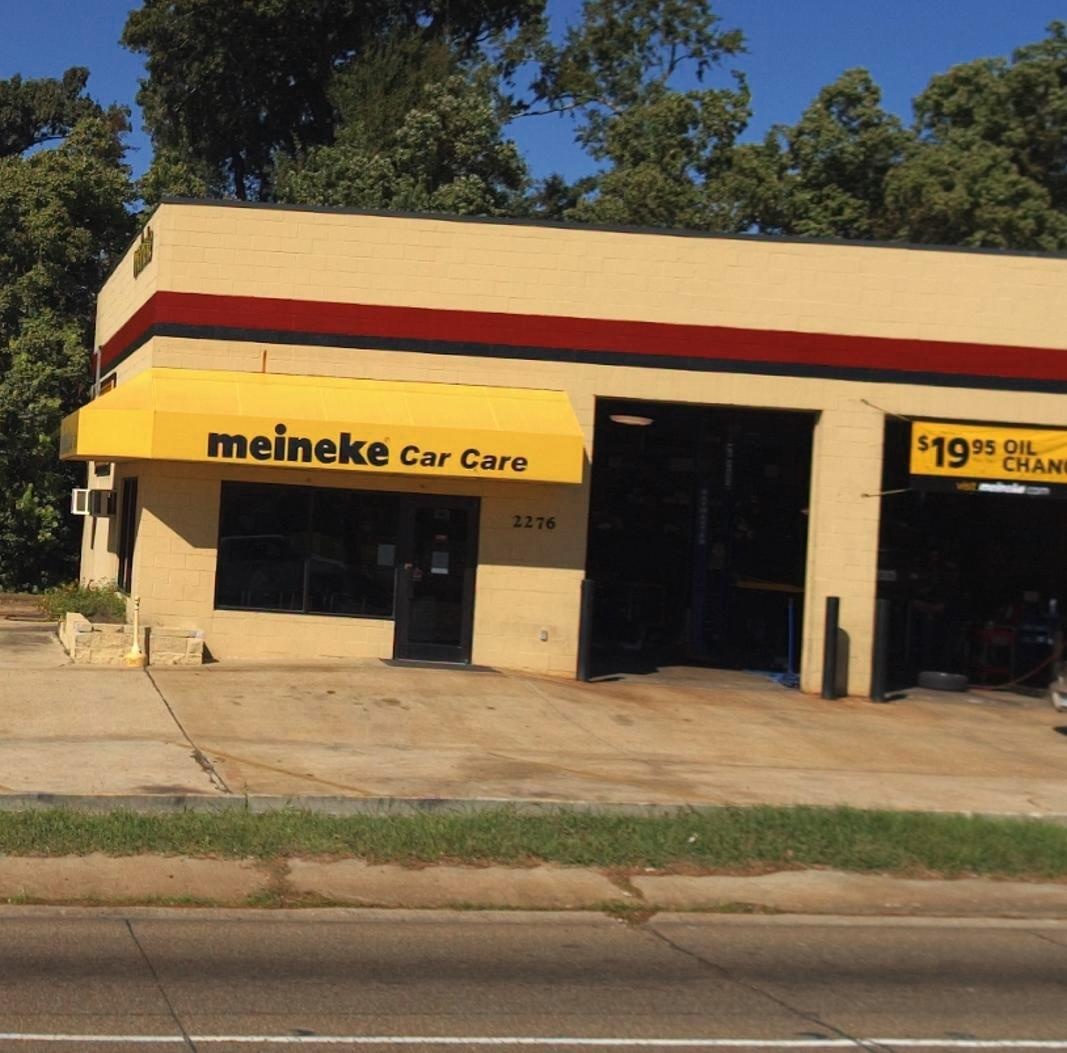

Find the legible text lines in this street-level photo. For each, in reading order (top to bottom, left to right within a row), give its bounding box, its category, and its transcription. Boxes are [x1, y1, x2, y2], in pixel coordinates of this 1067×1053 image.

[205, 421, 530, 476] None: meineke Car Care
[929, 432, 972, 471] None: 19
[969, 435, 999, 458] None: 95
[999, 434, 1041, 458] None: OIL
[1000, 455, 1065, 478] None: CHAN
[510, 512, 559, 532] StreetNumber: 2276